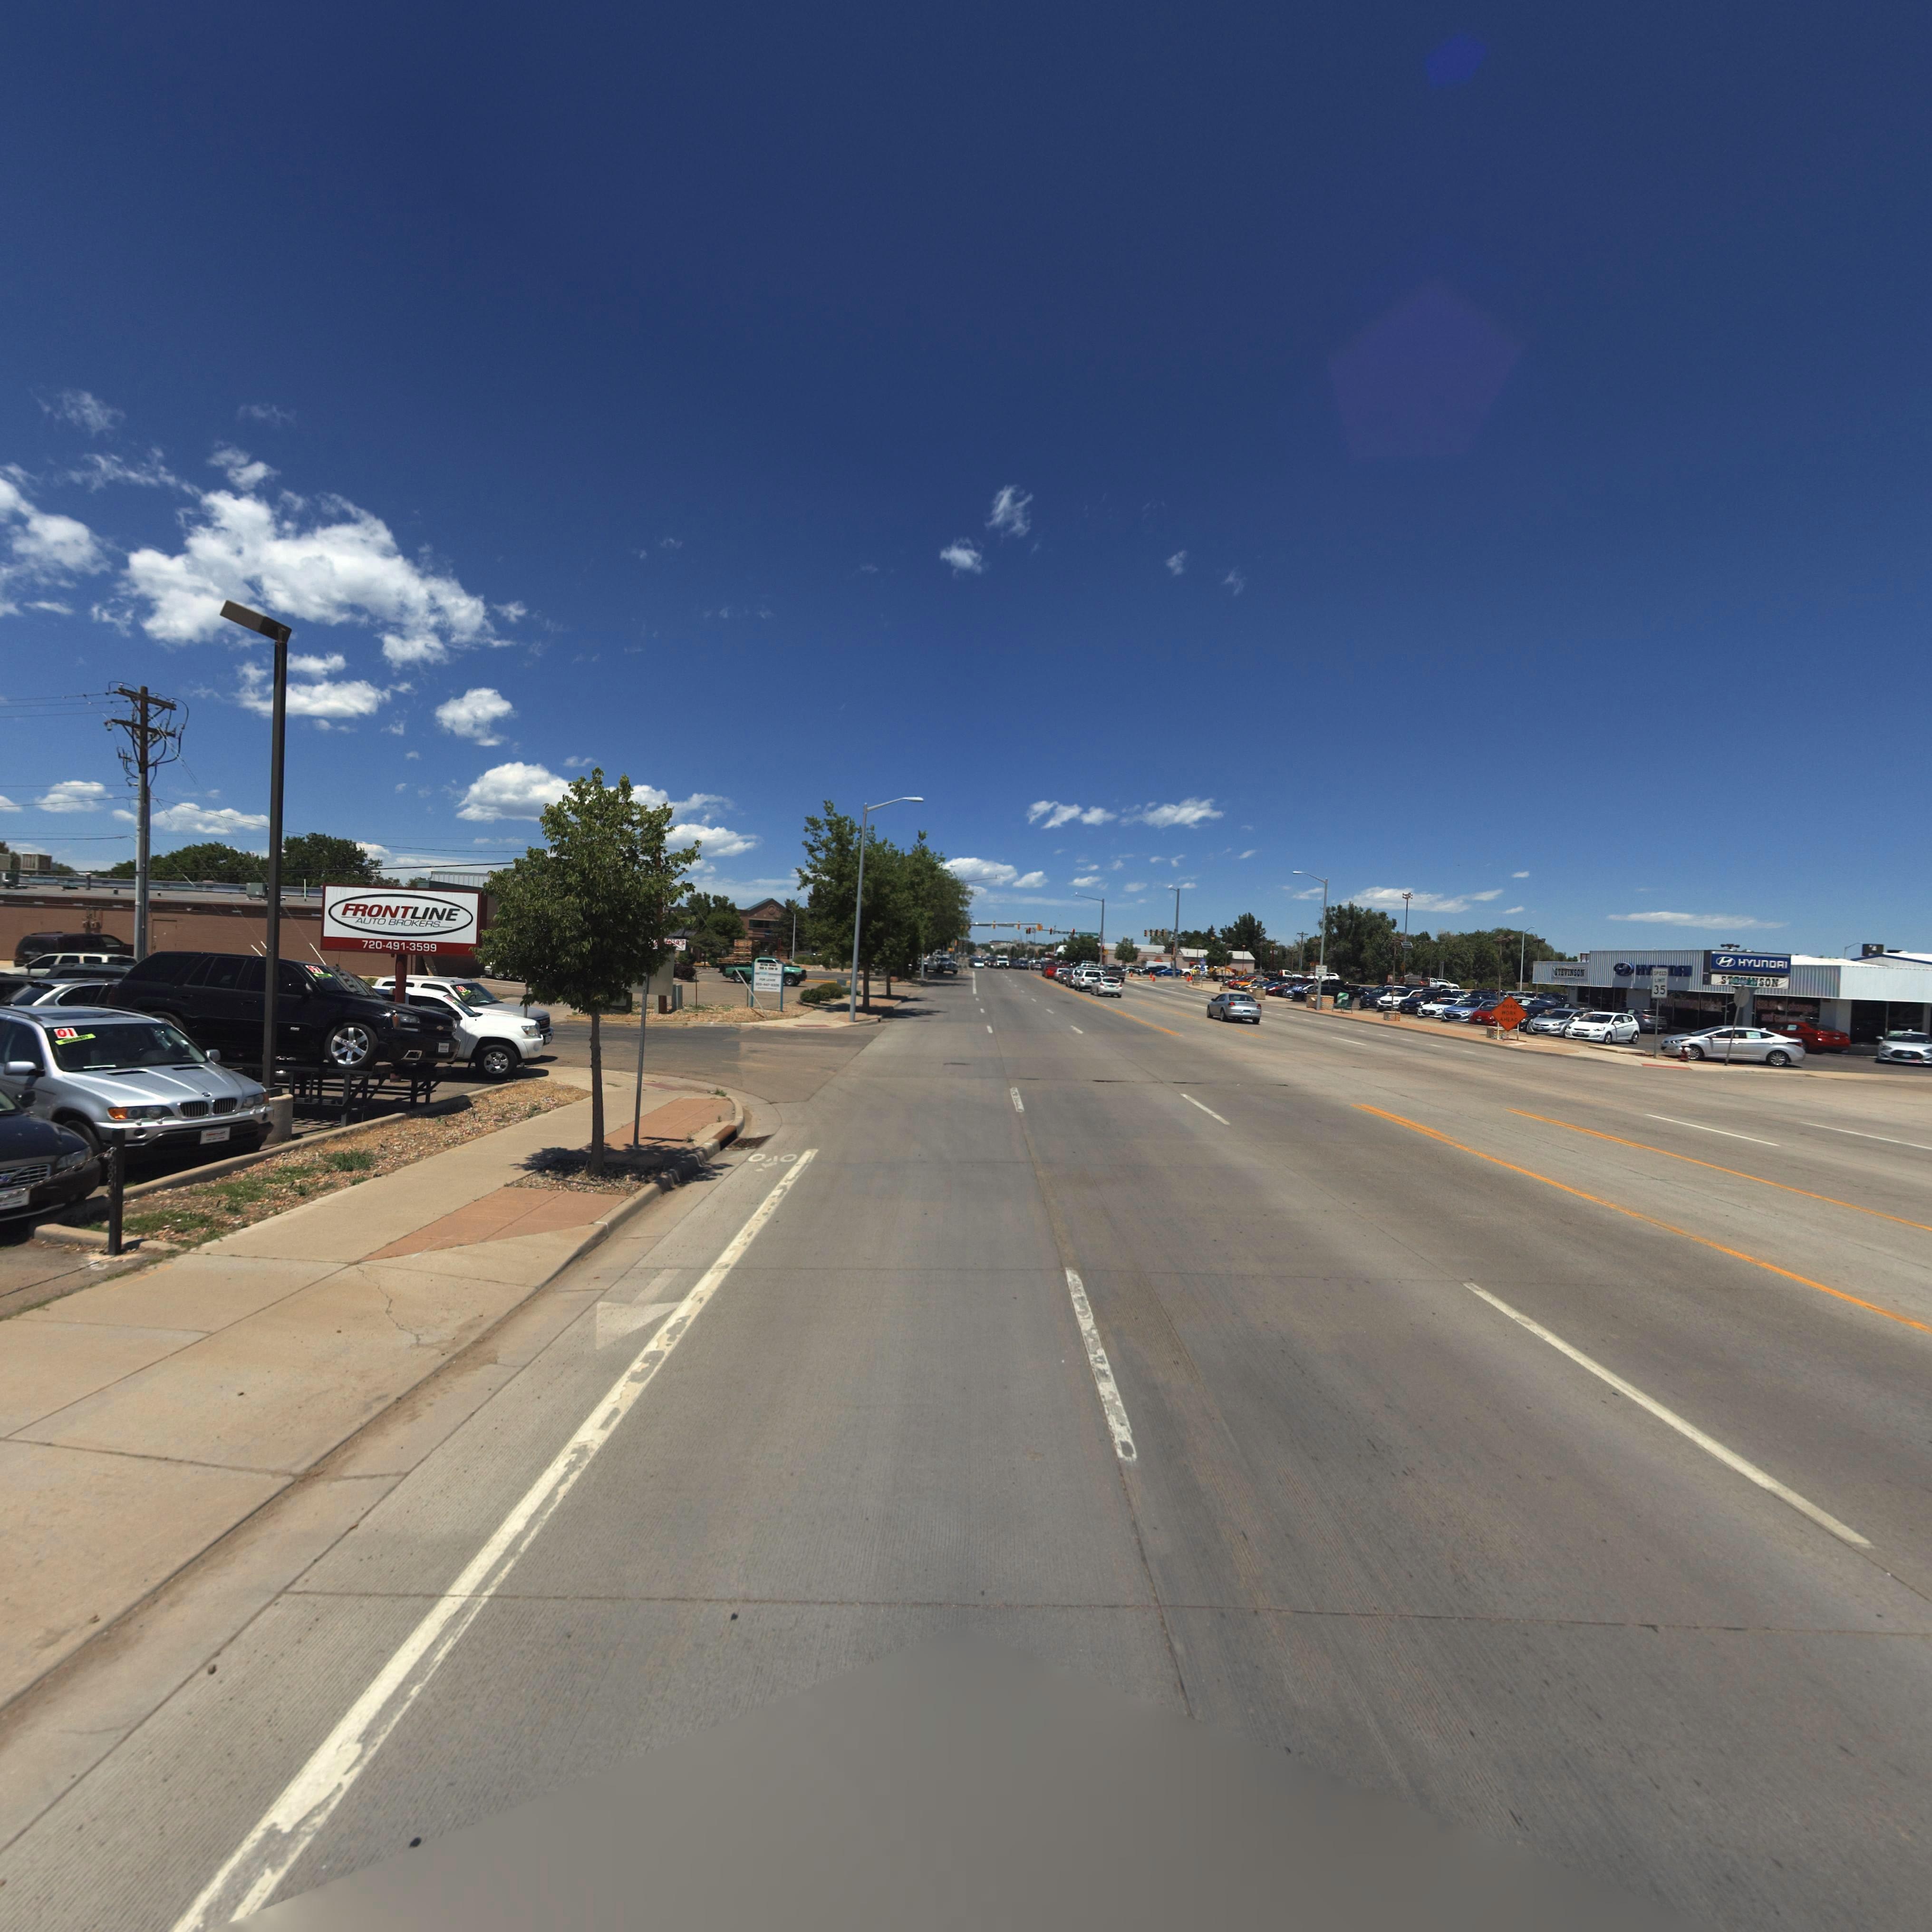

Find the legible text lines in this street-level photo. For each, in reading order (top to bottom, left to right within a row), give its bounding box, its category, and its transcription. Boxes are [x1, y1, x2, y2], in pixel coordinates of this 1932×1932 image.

[341, 903, 461, 921] BusinessName: FRONTLINE
[354, 917, 442, 928] BusinessName: AUTO BROKERS
[647, 937, 686, 947] BusinessName: *o**f*lla*s
[1738, 958, 1788, 969] BusinessName: HYUNDAI
[1554, 967, 1585, 977] BusinessName: STEVINSON
[1635, 964, 1692, 977] BusinessName: HY**DAI
[1731, 978, 1756, 985] StreetName: GRAND AV
[1720, 975, 1779, 987] BusinessName: ST****SON